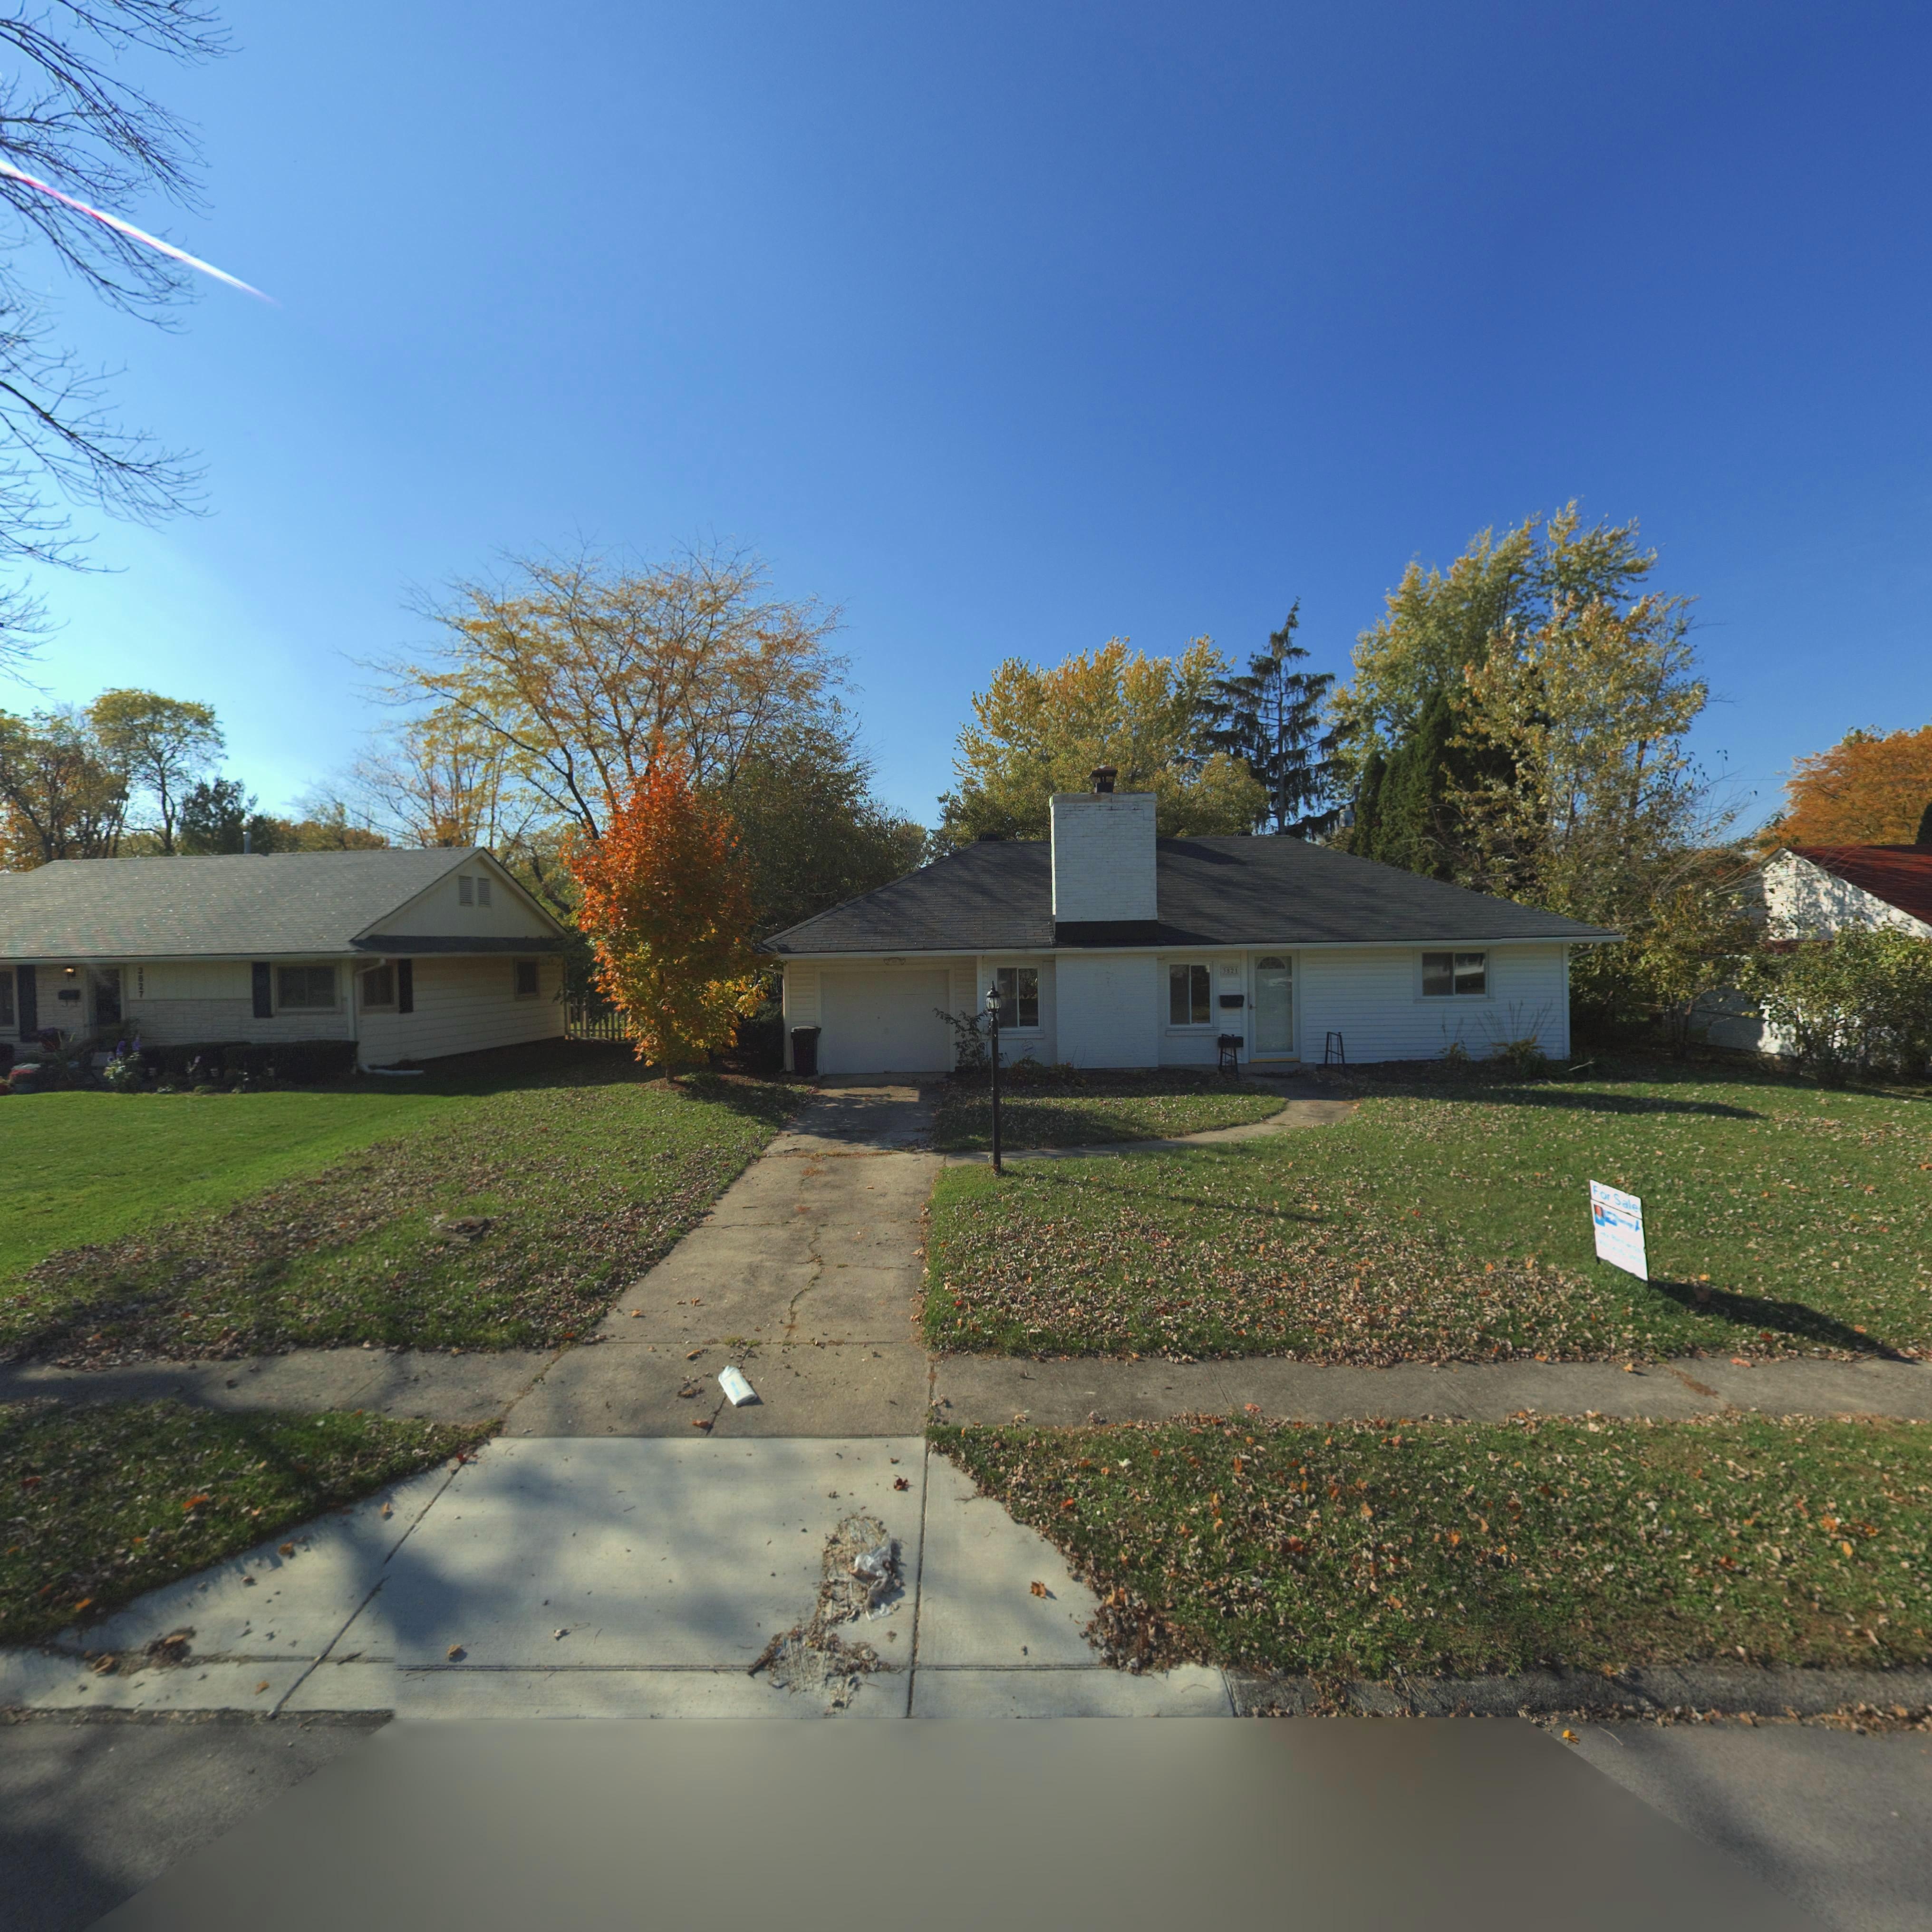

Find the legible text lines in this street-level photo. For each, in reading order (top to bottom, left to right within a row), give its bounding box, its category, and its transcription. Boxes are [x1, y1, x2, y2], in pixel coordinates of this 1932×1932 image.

[135, 966, 146, 999] StreetNumber: 3827
[1222, 967, 1238, 975] StreetNumber: 3821
[1592, 1183, 1640, 1215] None: For Sale